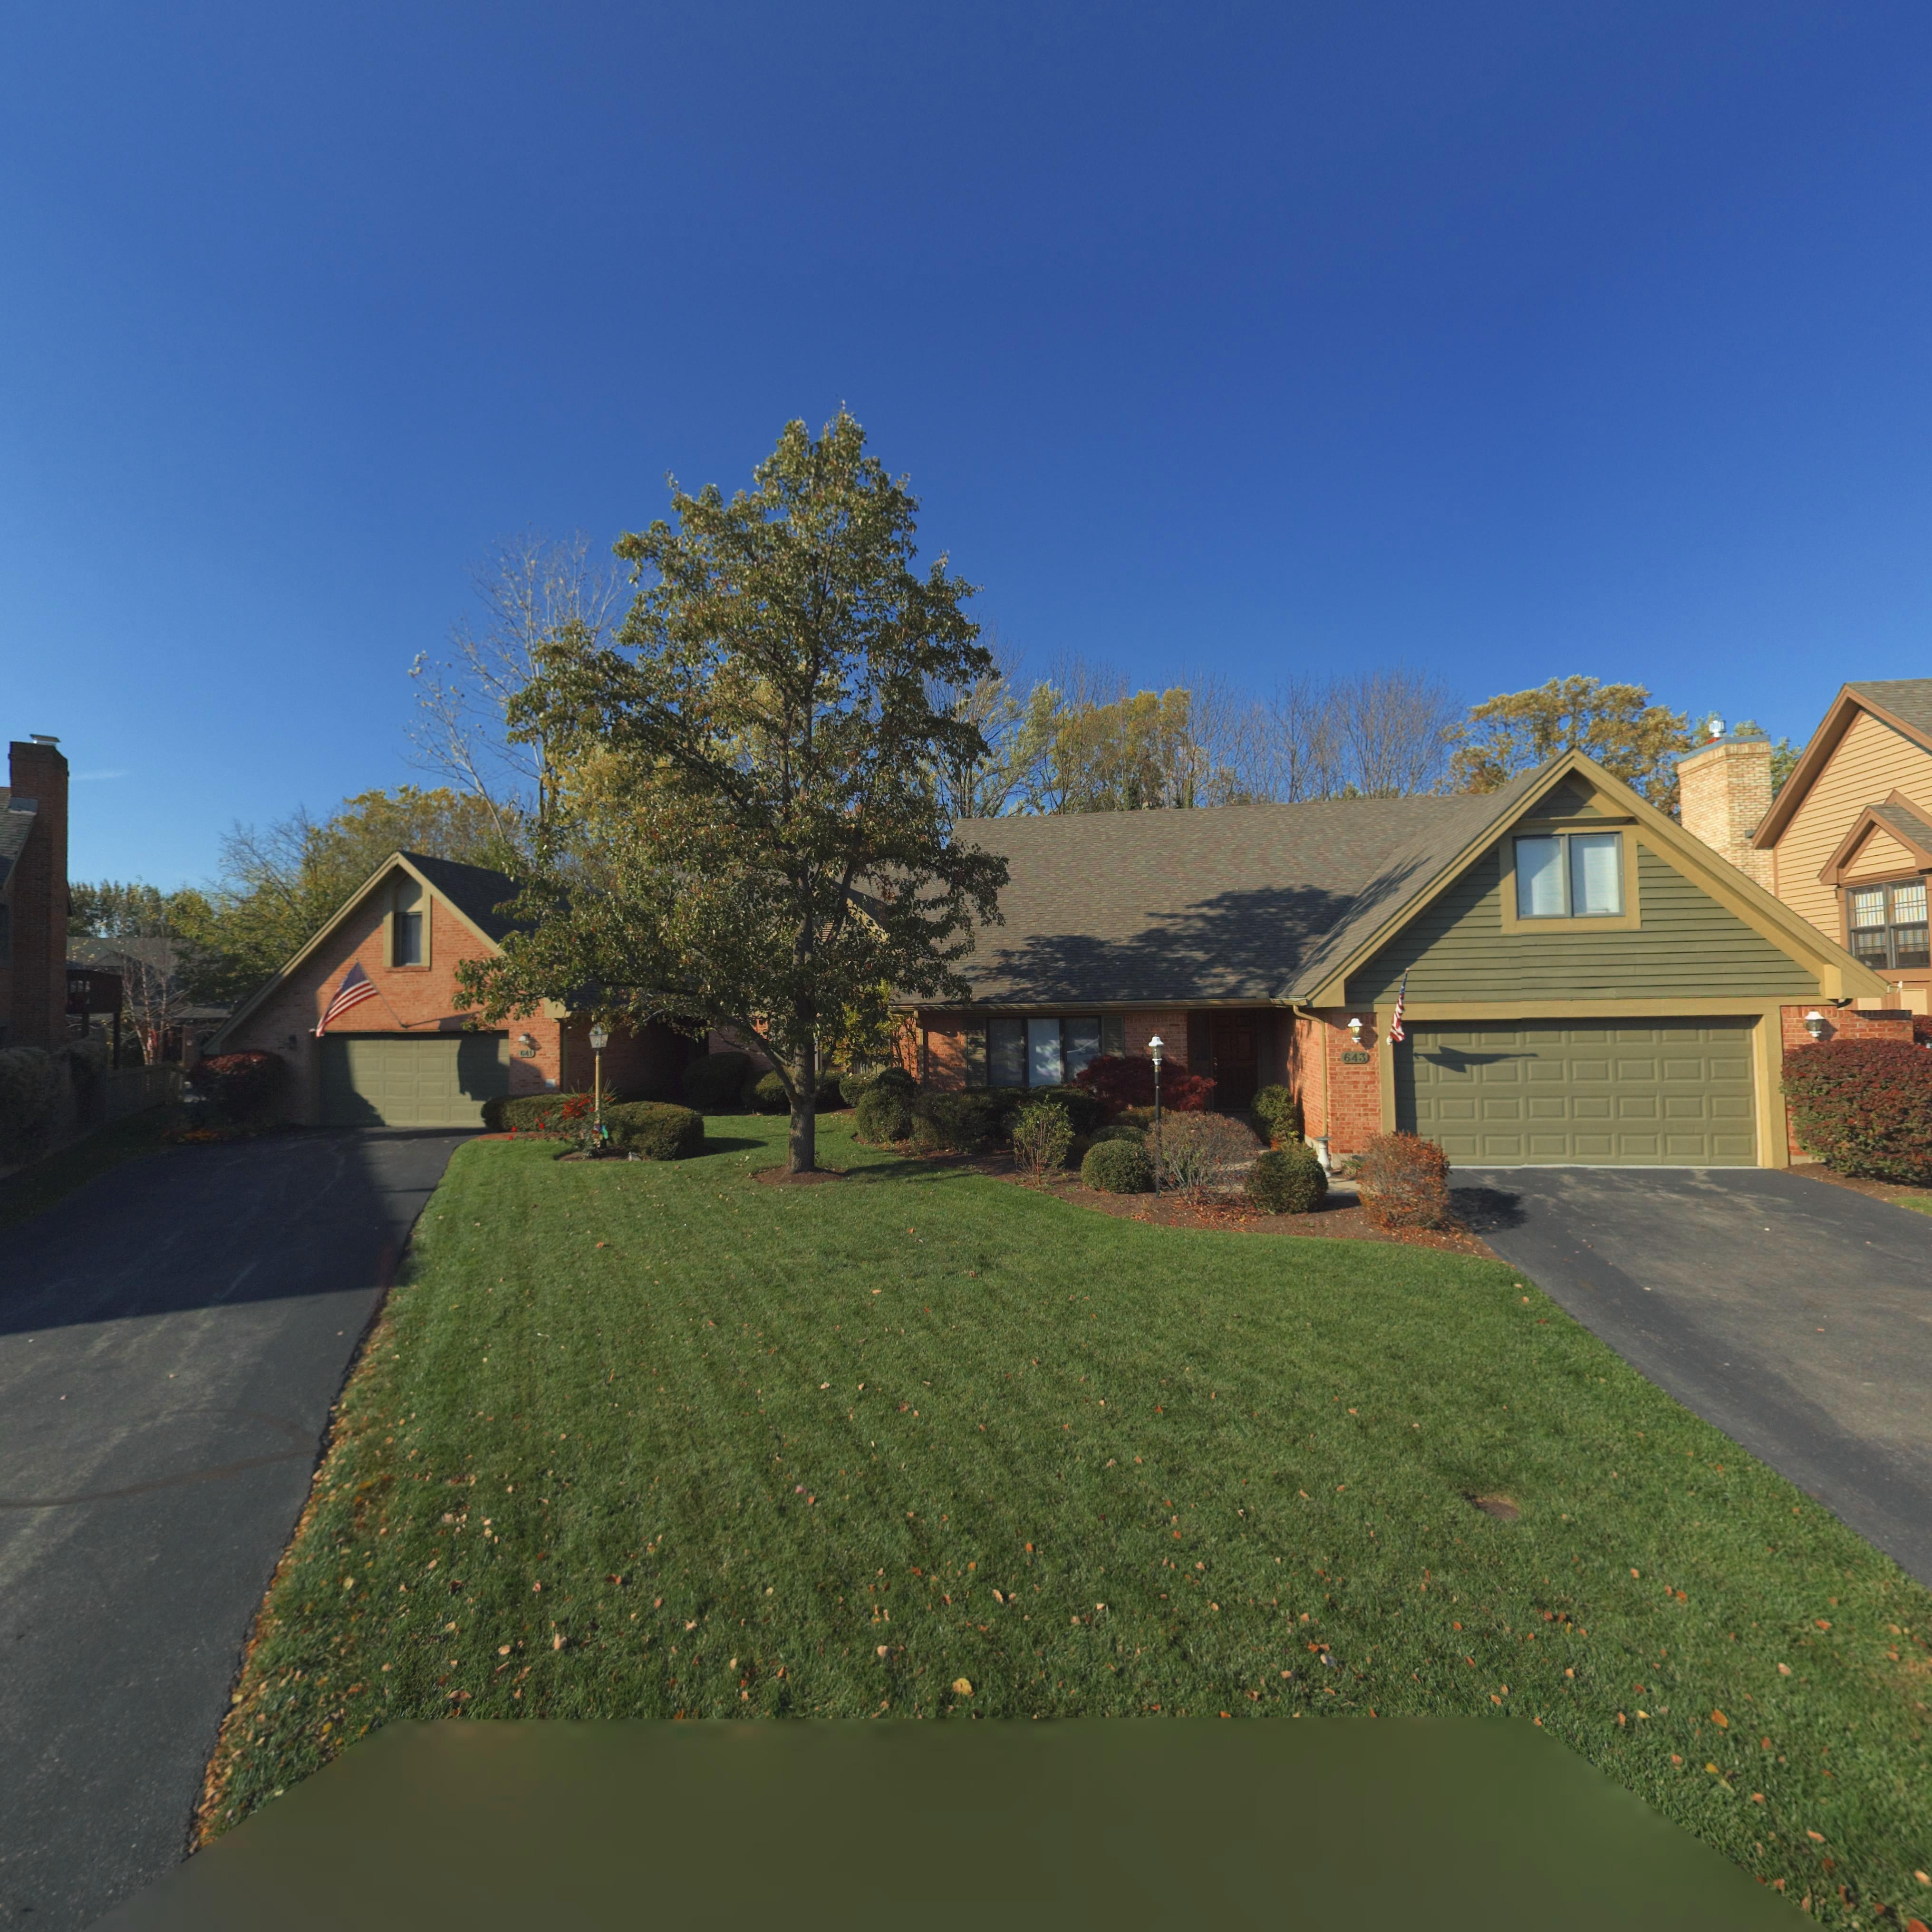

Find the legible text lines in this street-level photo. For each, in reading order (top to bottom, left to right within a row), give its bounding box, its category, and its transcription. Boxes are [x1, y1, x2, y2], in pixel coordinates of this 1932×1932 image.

[520, 1050, 533, 1057] StreetNumber: 641
[1343, 1053, 1366, 1062] StreetNumber: 643